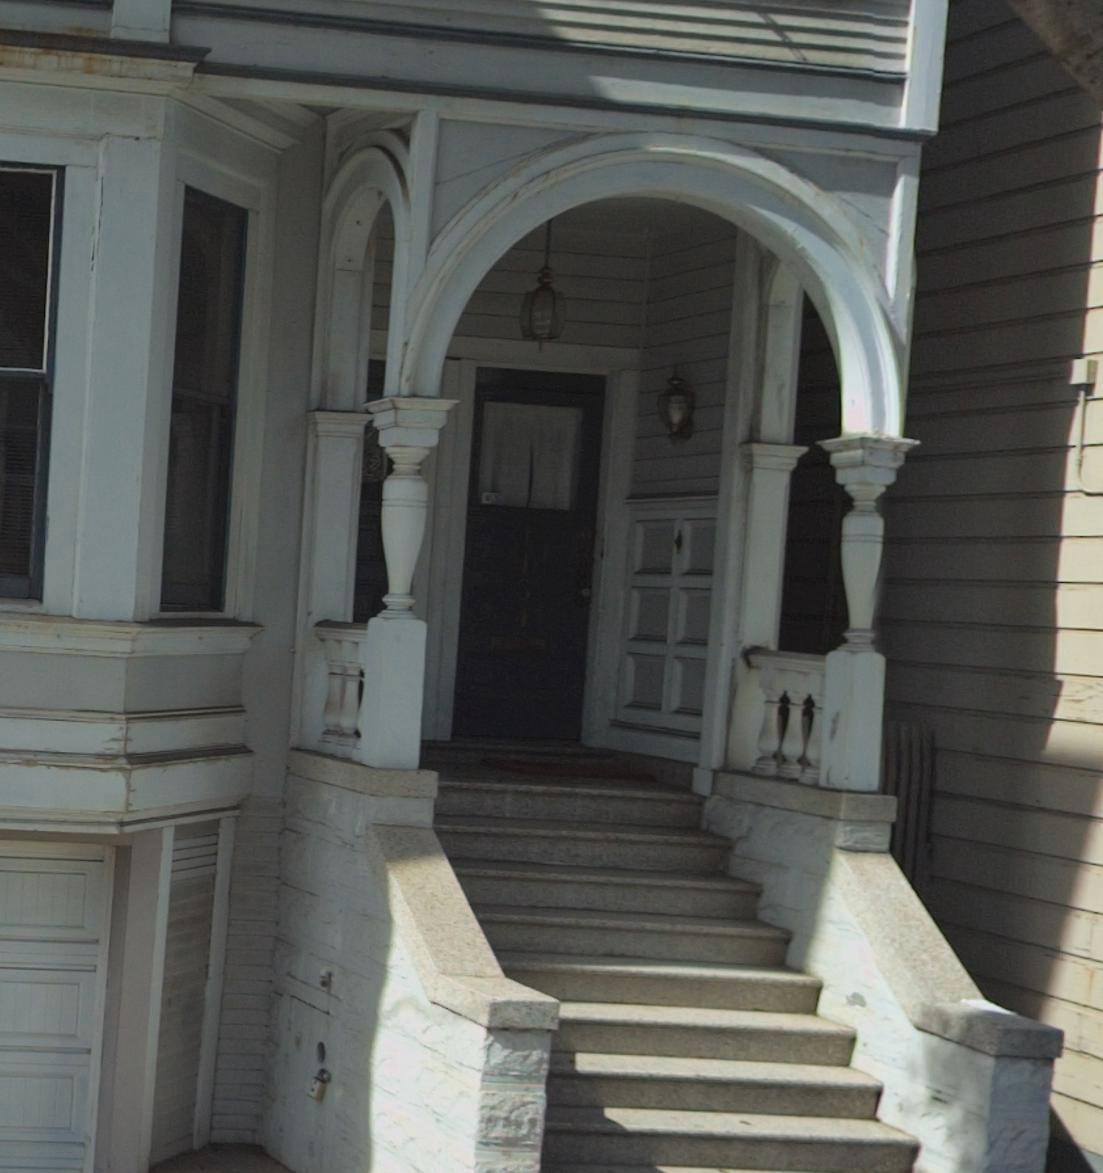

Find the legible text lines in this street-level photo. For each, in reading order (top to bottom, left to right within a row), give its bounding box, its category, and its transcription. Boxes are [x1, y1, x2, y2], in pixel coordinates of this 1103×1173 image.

[512, 524, 536, 629] StreetNumber: 1134